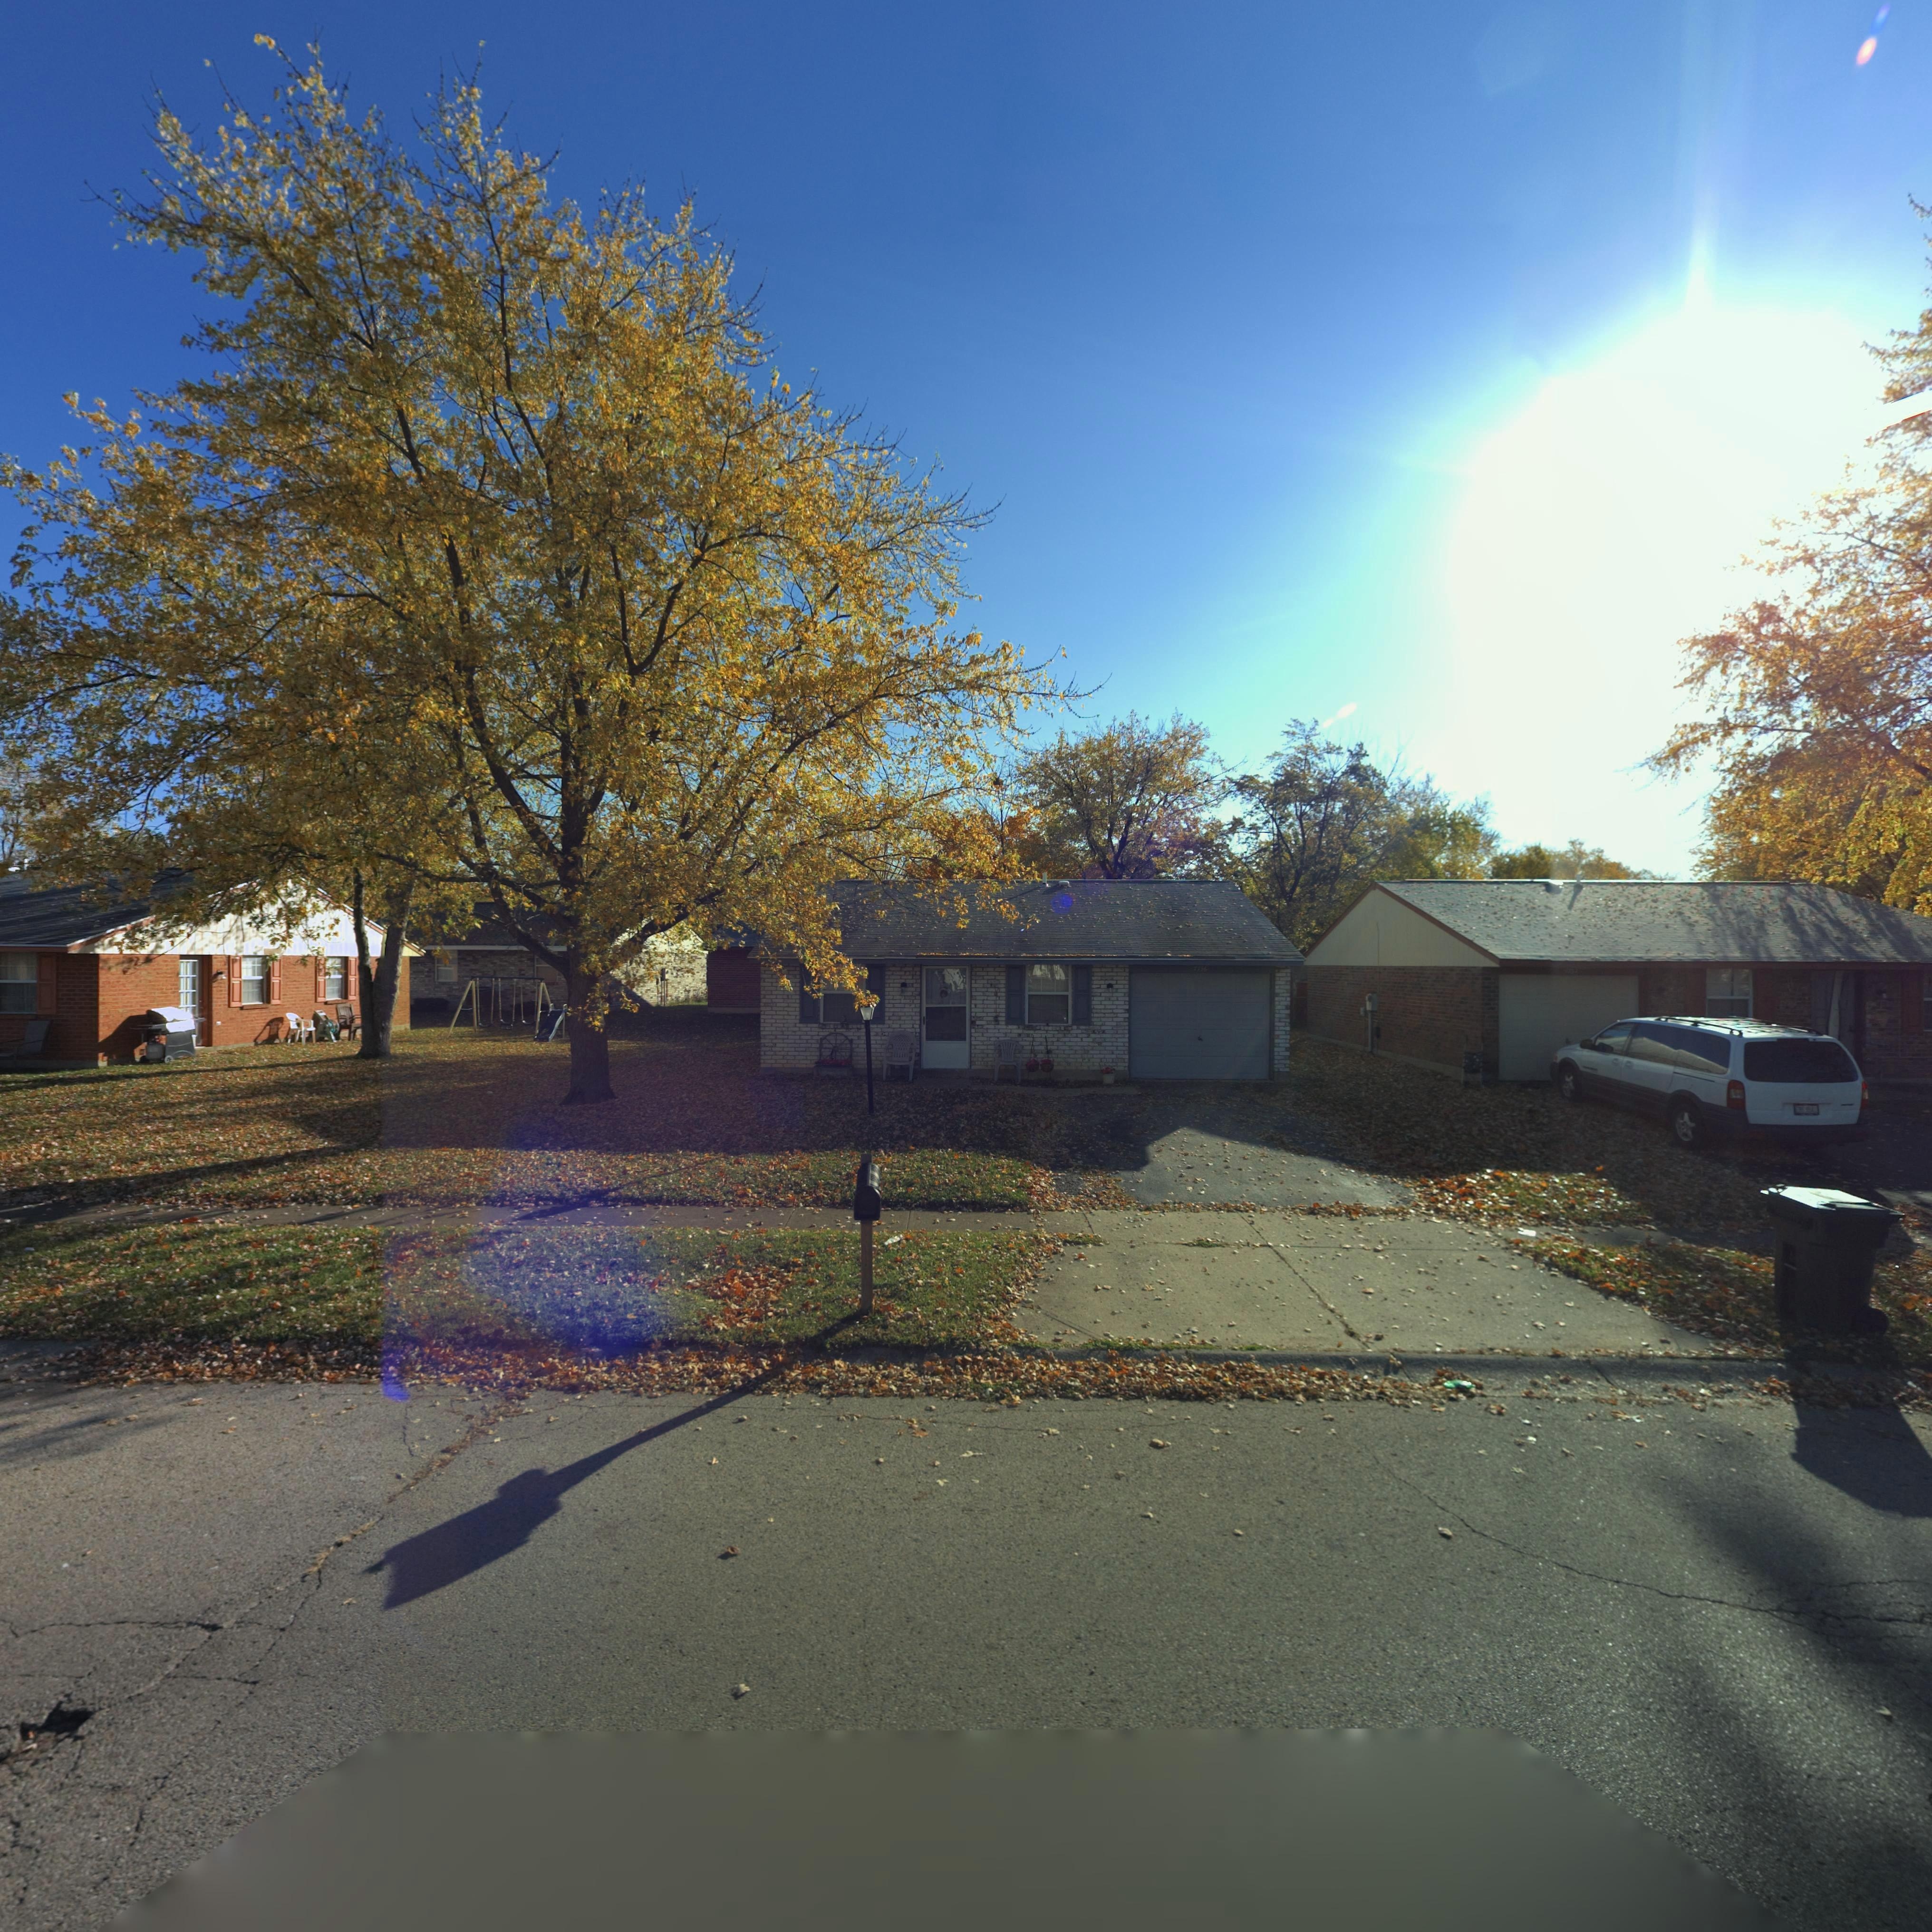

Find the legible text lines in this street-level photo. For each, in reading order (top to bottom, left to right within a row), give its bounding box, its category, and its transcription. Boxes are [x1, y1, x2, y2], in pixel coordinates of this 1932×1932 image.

[1193, 966, 1208, 973] StreetNumber: ***6